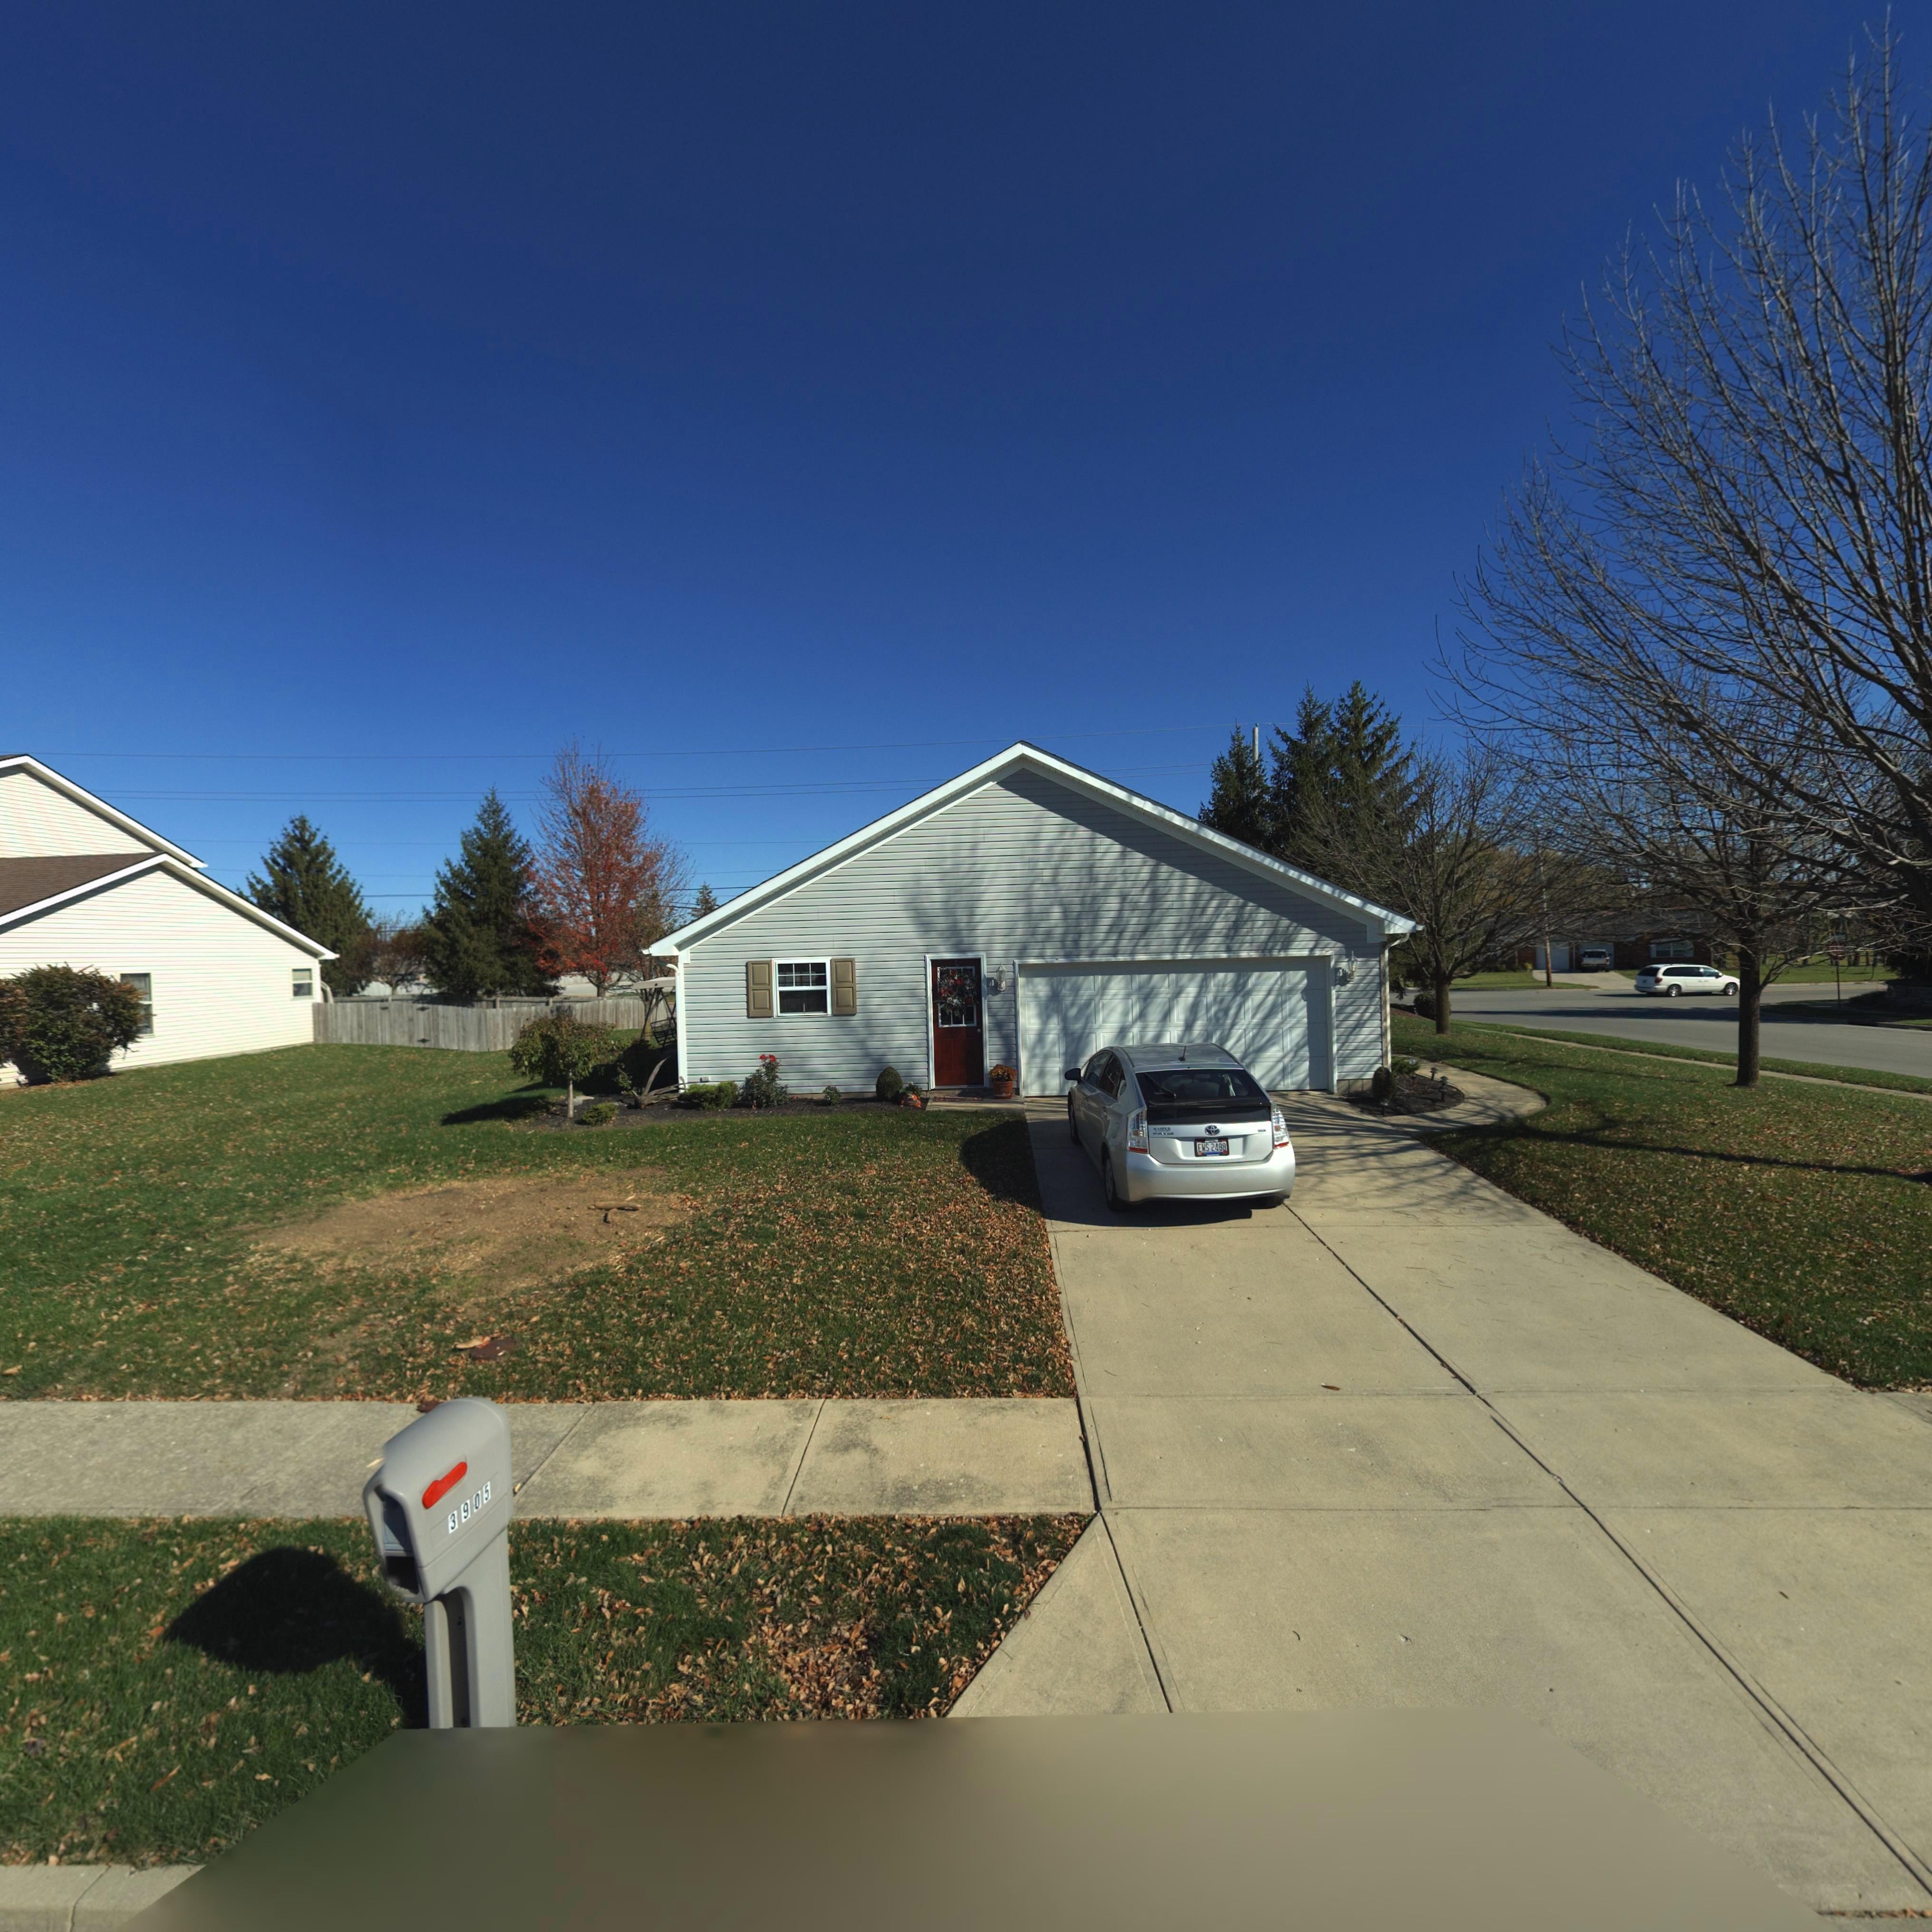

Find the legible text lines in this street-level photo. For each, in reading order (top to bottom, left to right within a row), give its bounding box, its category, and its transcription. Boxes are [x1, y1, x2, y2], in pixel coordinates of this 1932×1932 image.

[447, 1482, 490, 1532] StreetNumber: 3905